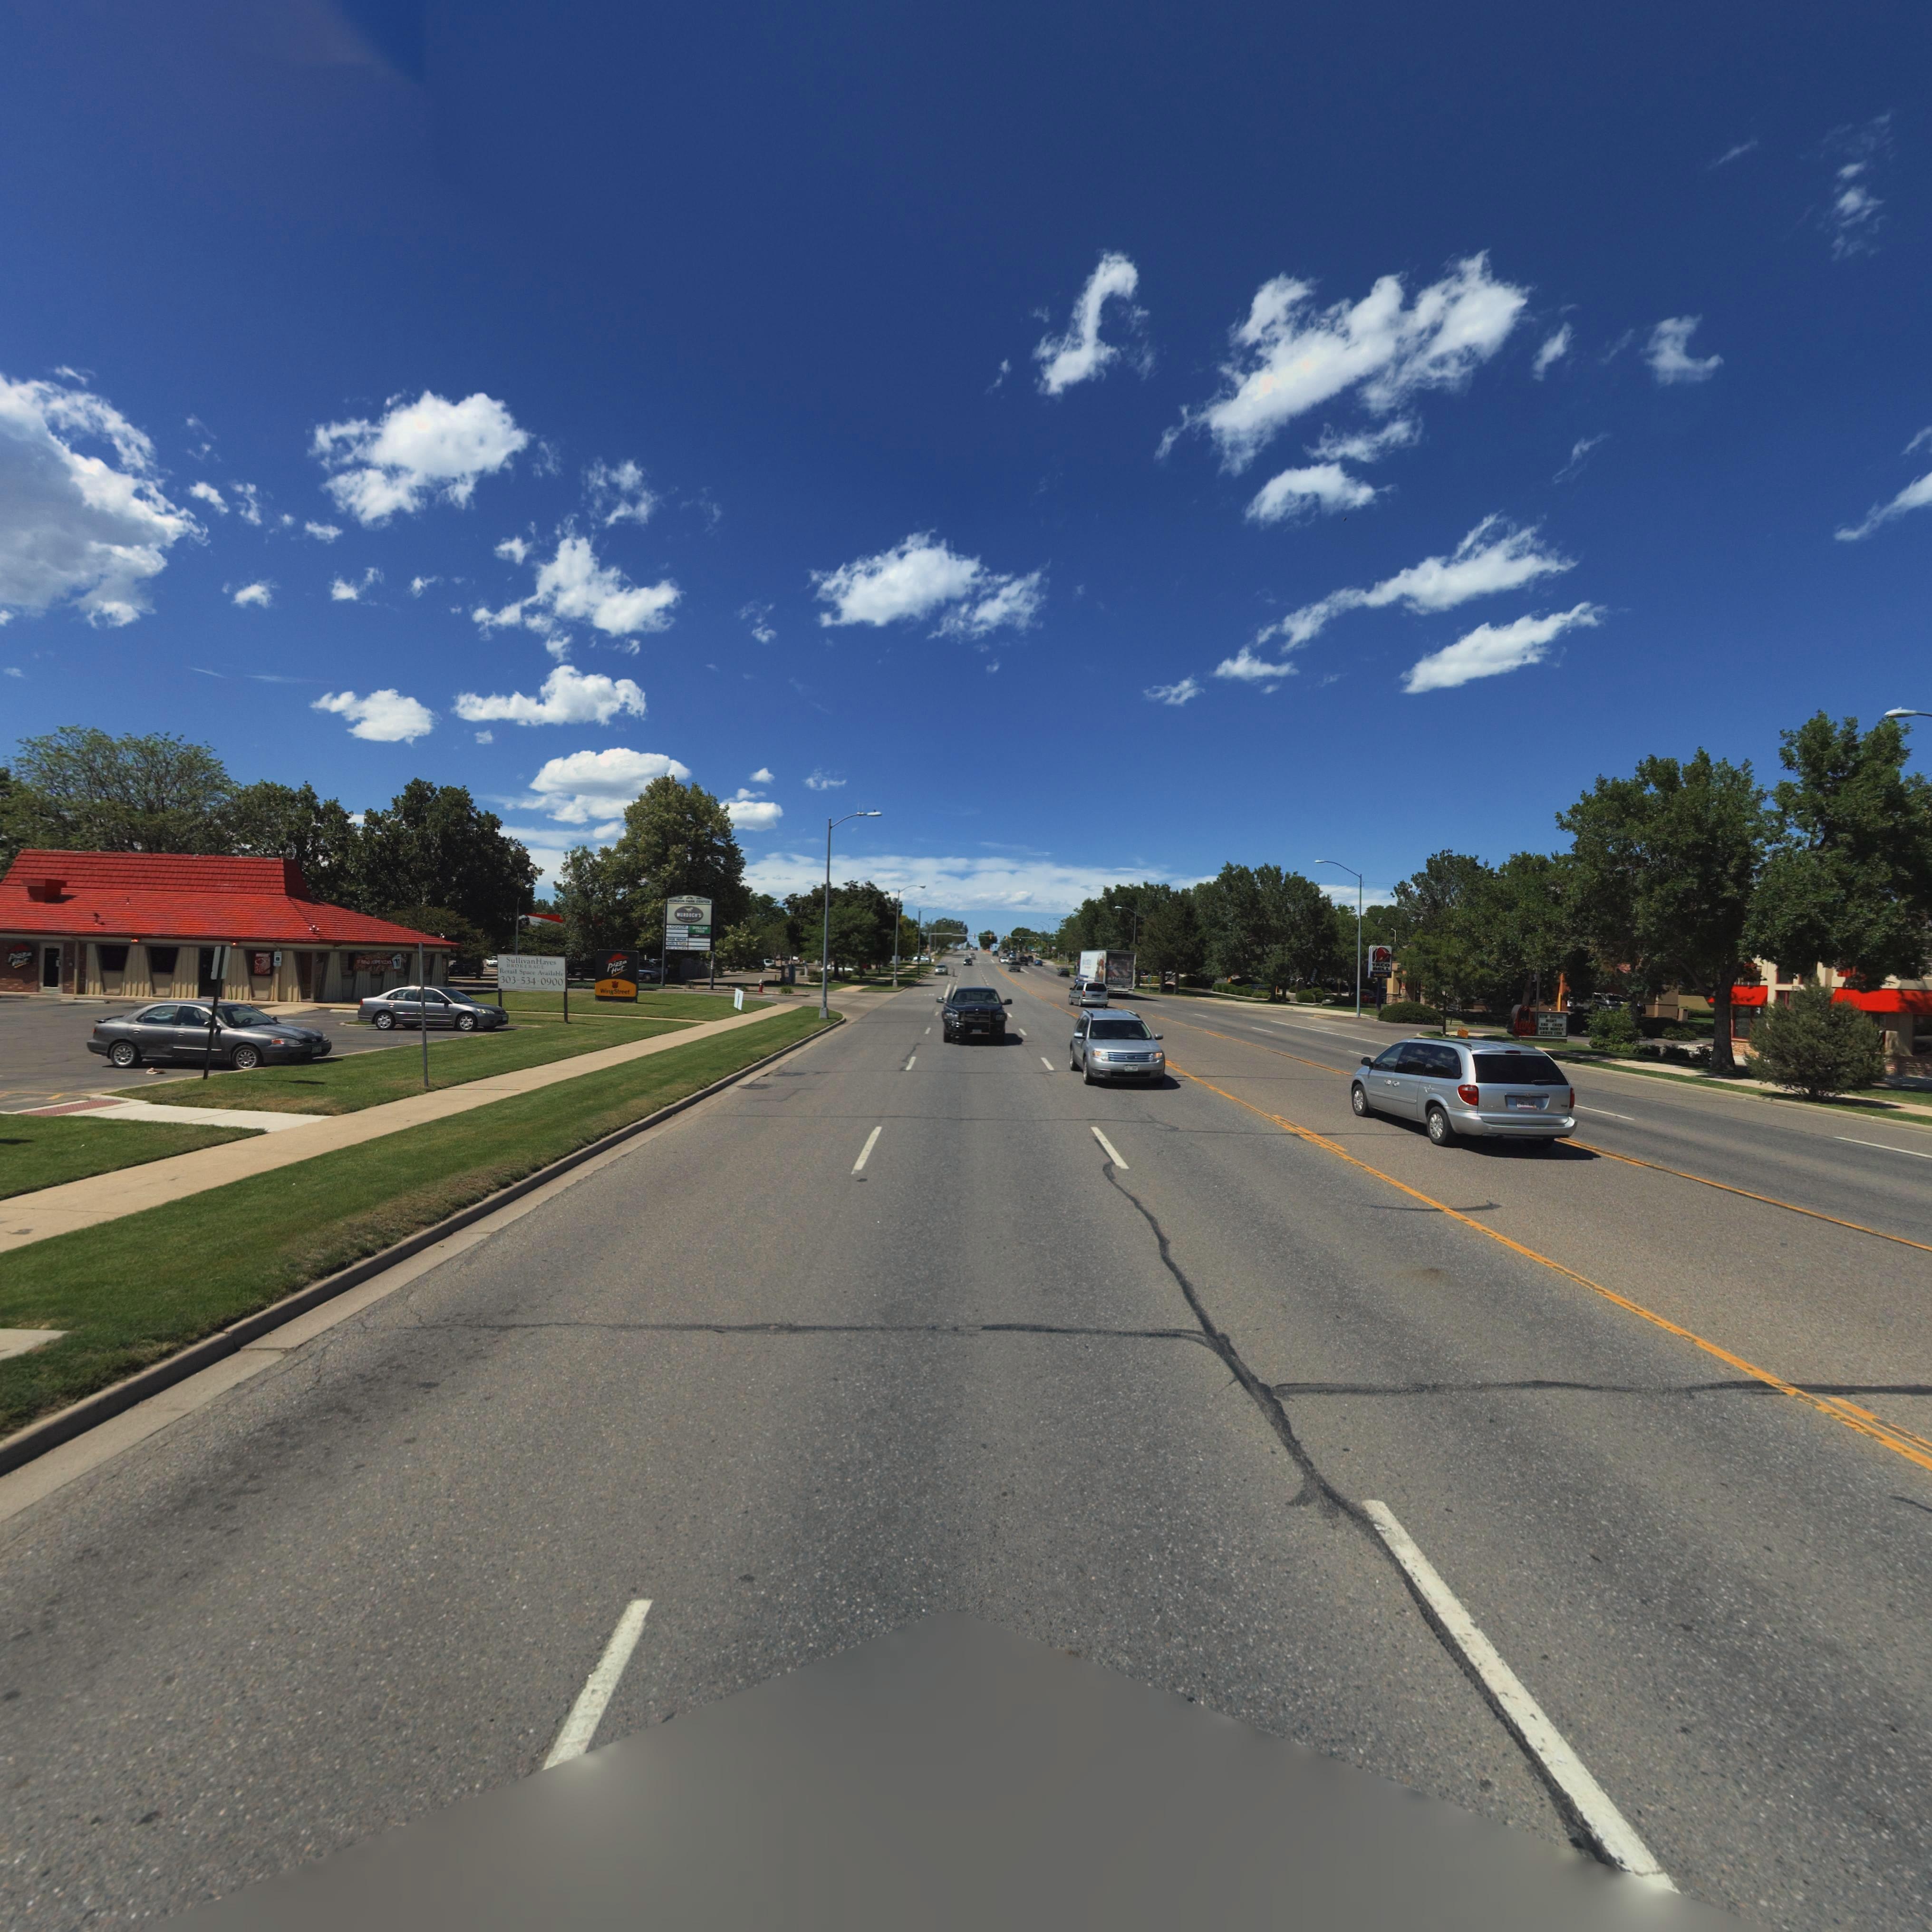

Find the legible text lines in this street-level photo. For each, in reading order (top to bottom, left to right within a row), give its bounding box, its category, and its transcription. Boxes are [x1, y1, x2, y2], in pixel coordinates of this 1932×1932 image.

[676, 912, 701, 918] BusinessName: ***D*C*'S
[692, 926, 708, 929] BusinessName: DOLL**
[8, 951, 32, 963] BusinessName: pizza
[11, 957, 29, 966] BusinessName: H**
[606, 960, 627, 972] BusinessName: pizza
[611, 965, 625, 974] BusinessName: Hut
[1371, 963, 1390, 967] BusinessName: TACO
[1372, 967, 1390, 971] BusinessName: B*LL
[600, 987, 629, 995] BusinessName: WingStreet
[1511, 1018, 1536, 1033] BusinessName: *rby's